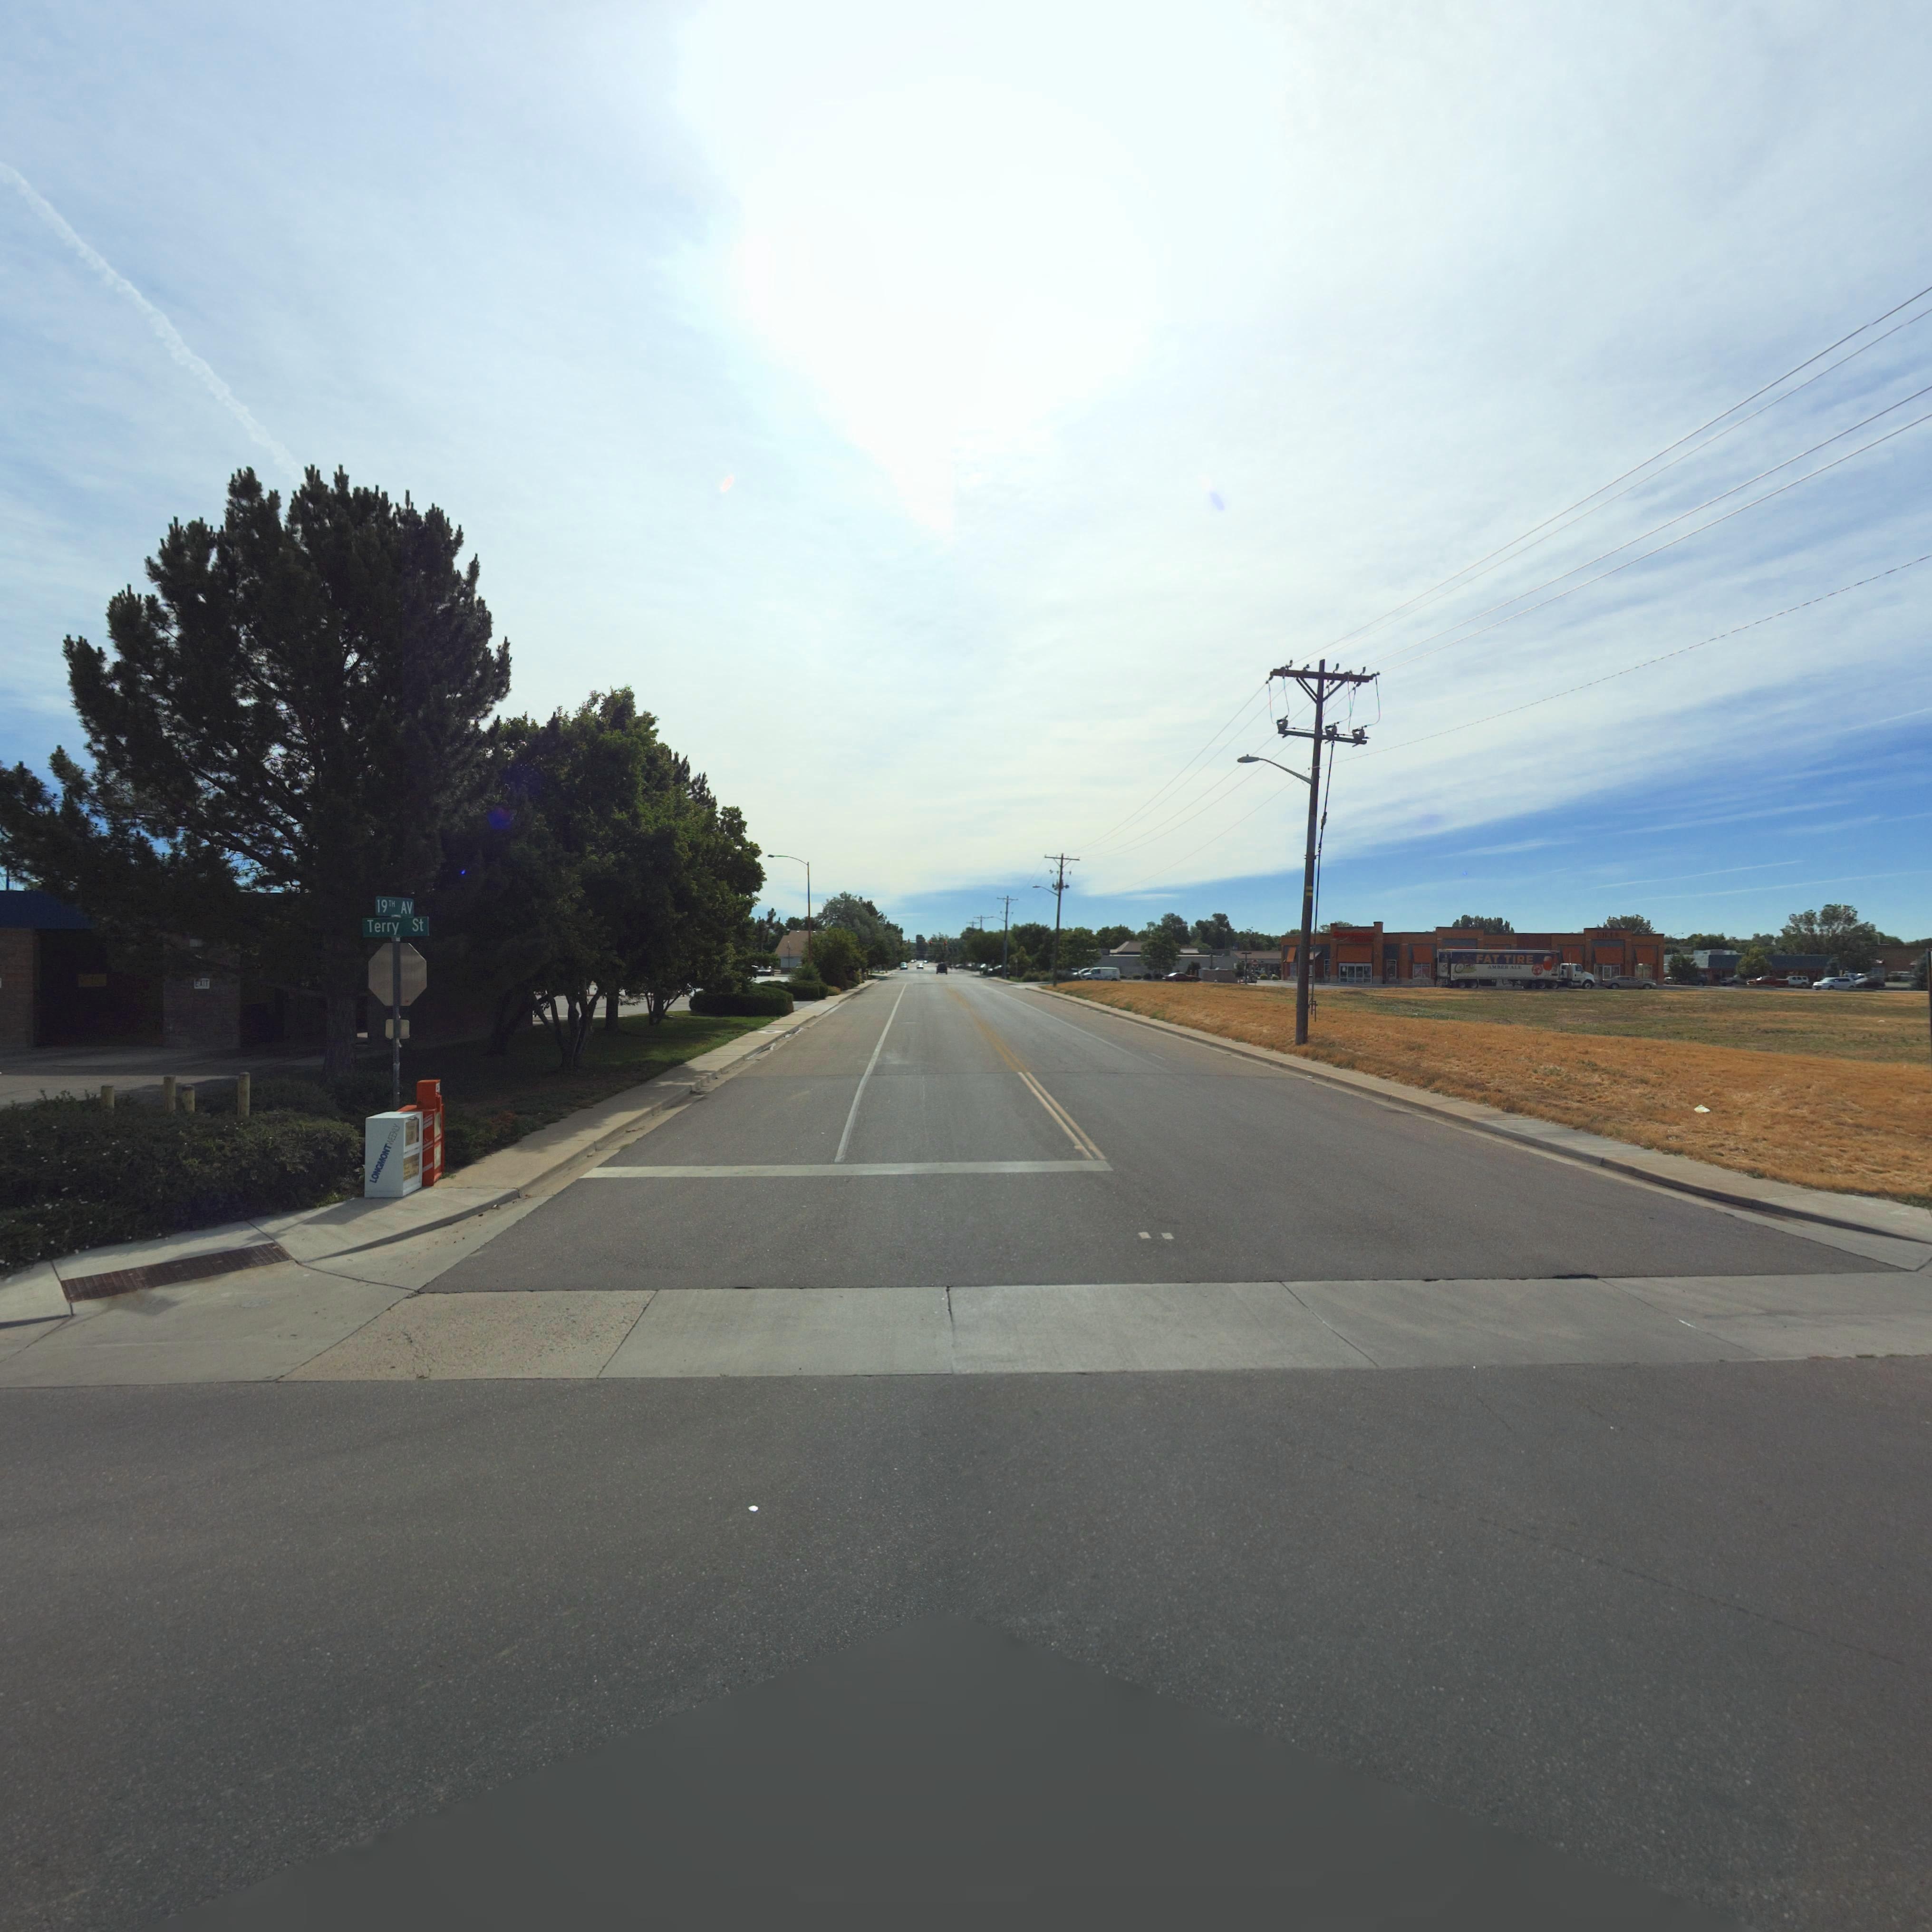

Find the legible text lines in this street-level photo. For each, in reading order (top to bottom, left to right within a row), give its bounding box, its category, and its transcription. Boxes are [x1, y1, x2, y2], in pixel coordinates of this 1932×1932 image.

[377, 898, 413, 914] StreetName: 19TH AV
[366, 918, 424, 935] StreetName: Terry St